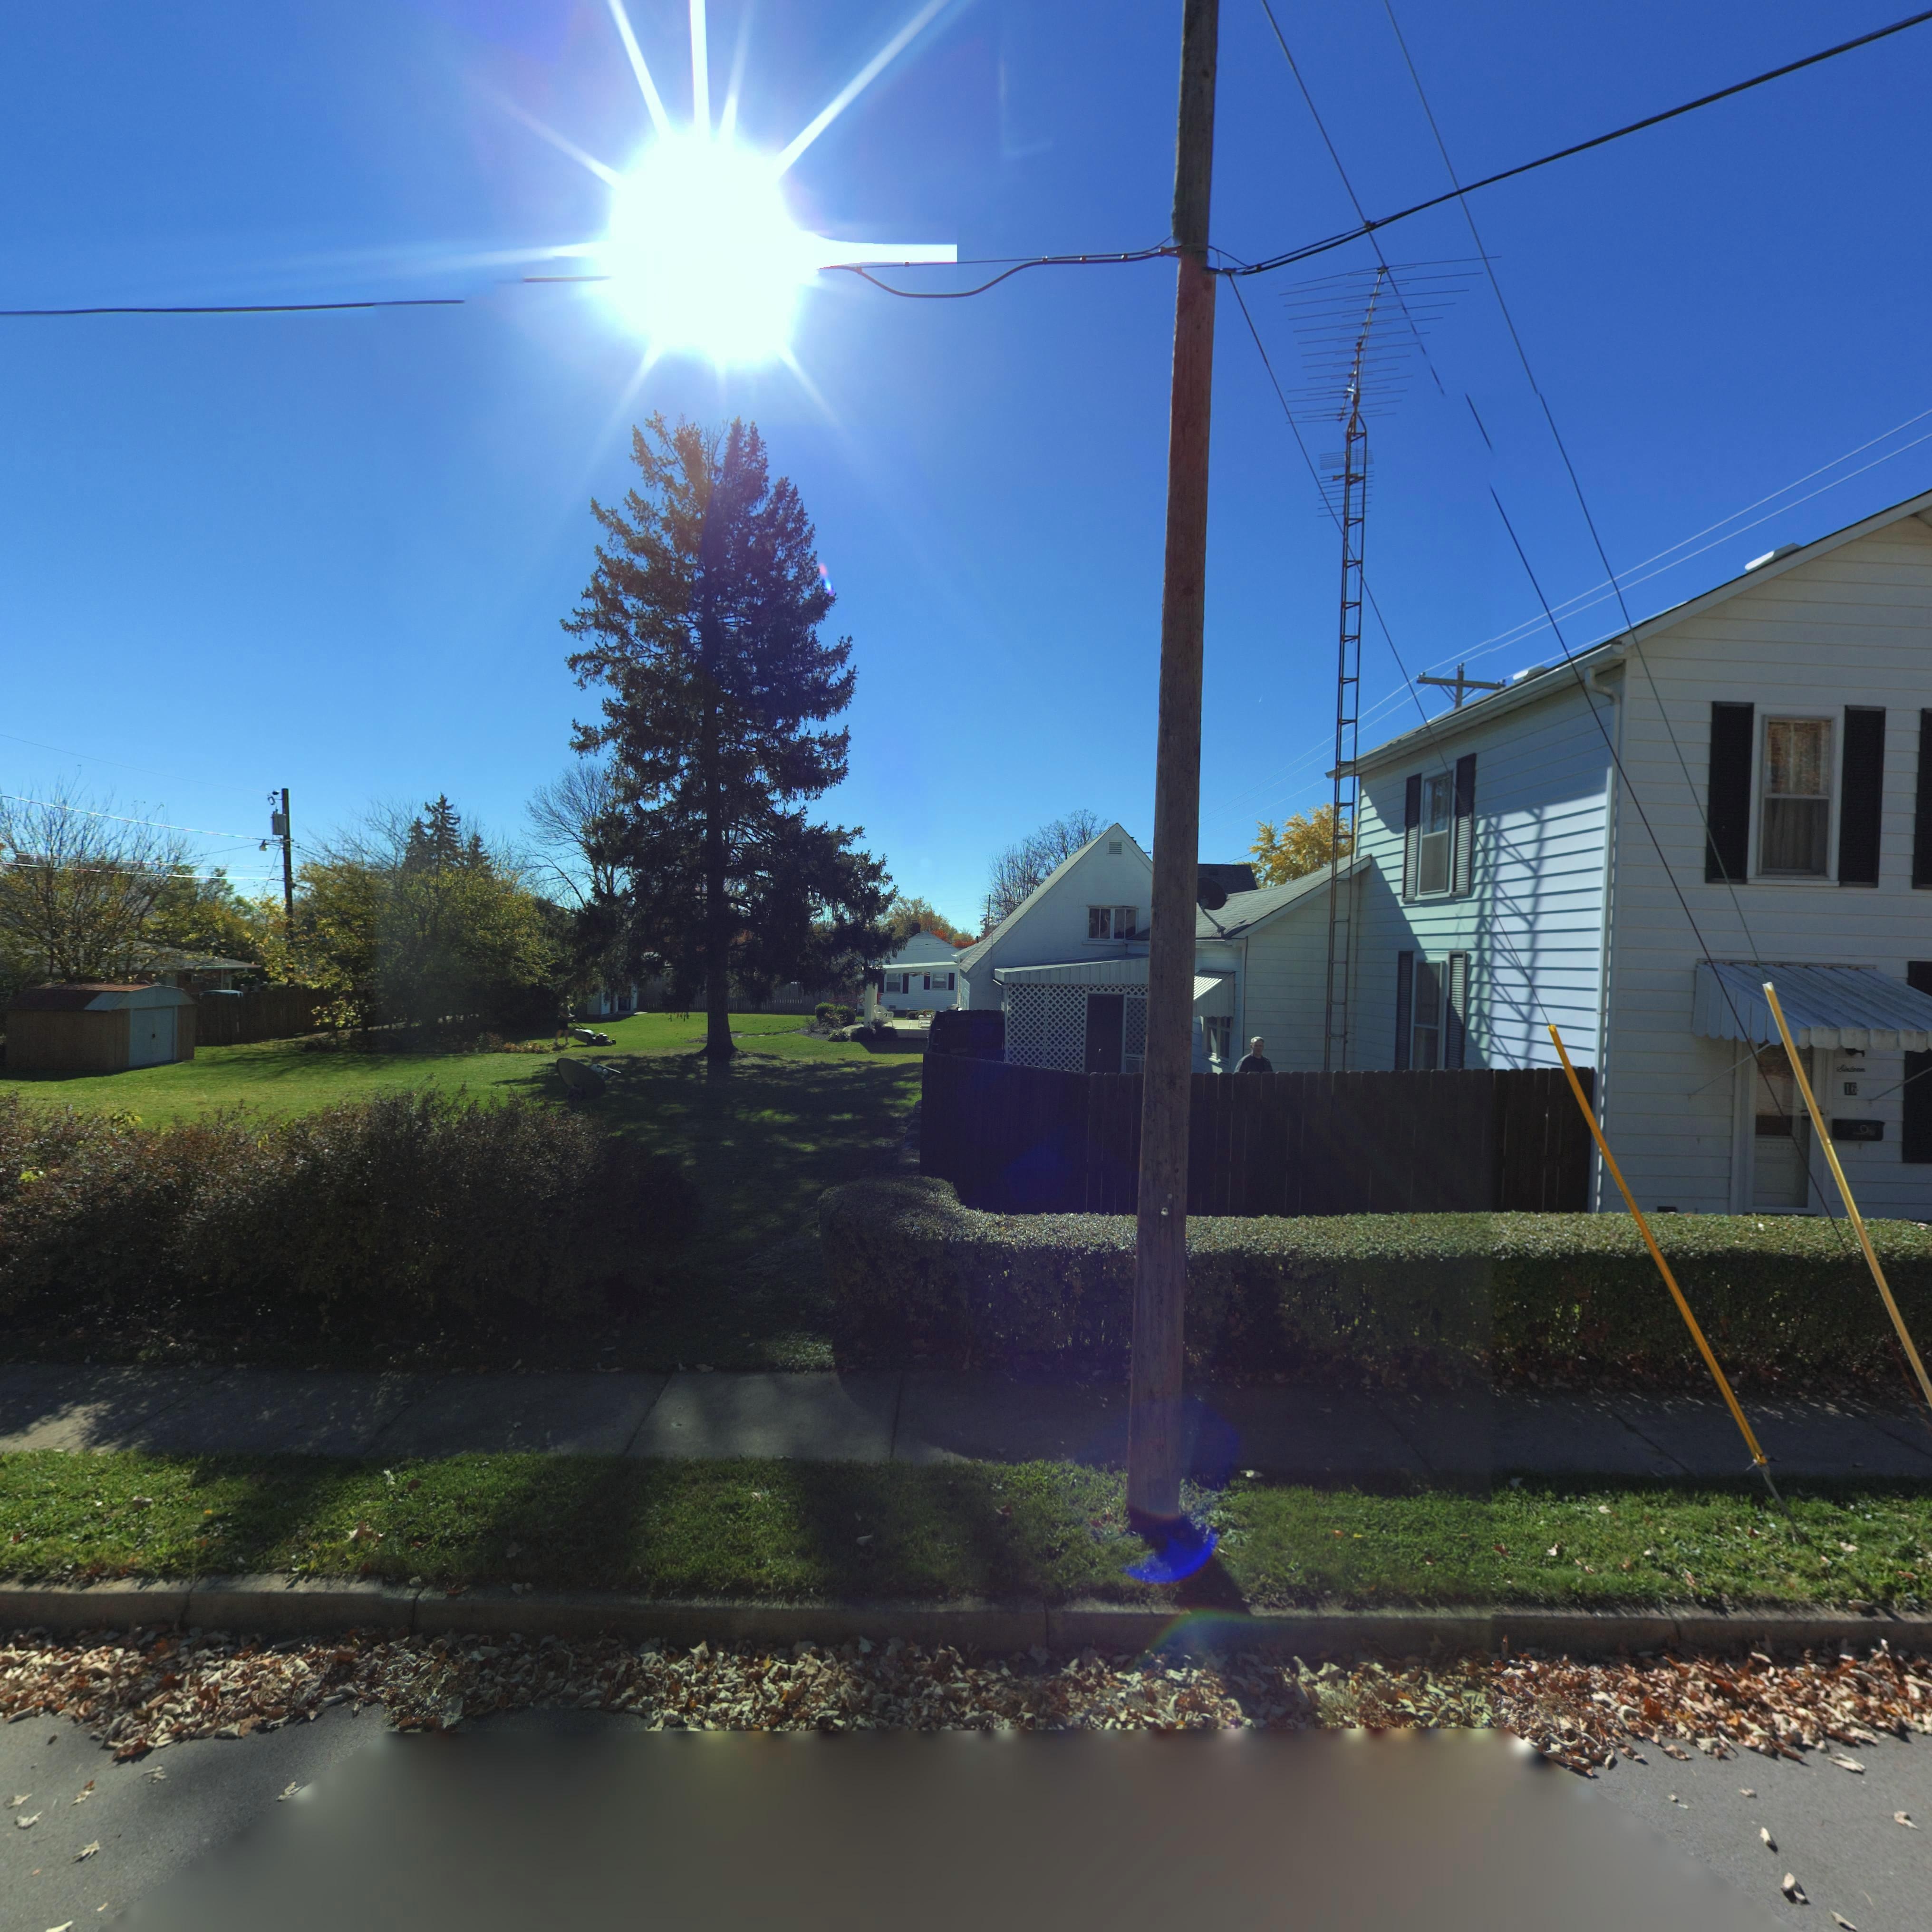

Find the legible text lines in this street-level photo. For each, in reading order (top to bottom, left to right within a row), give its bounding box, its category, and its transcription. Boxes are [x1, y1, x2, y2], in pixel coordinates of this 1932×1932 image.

[1835, 1063, 1866, 1072] StreetNumber: Sixteen
[1845, 1083, 1858, 1095] StreetNumber: 16